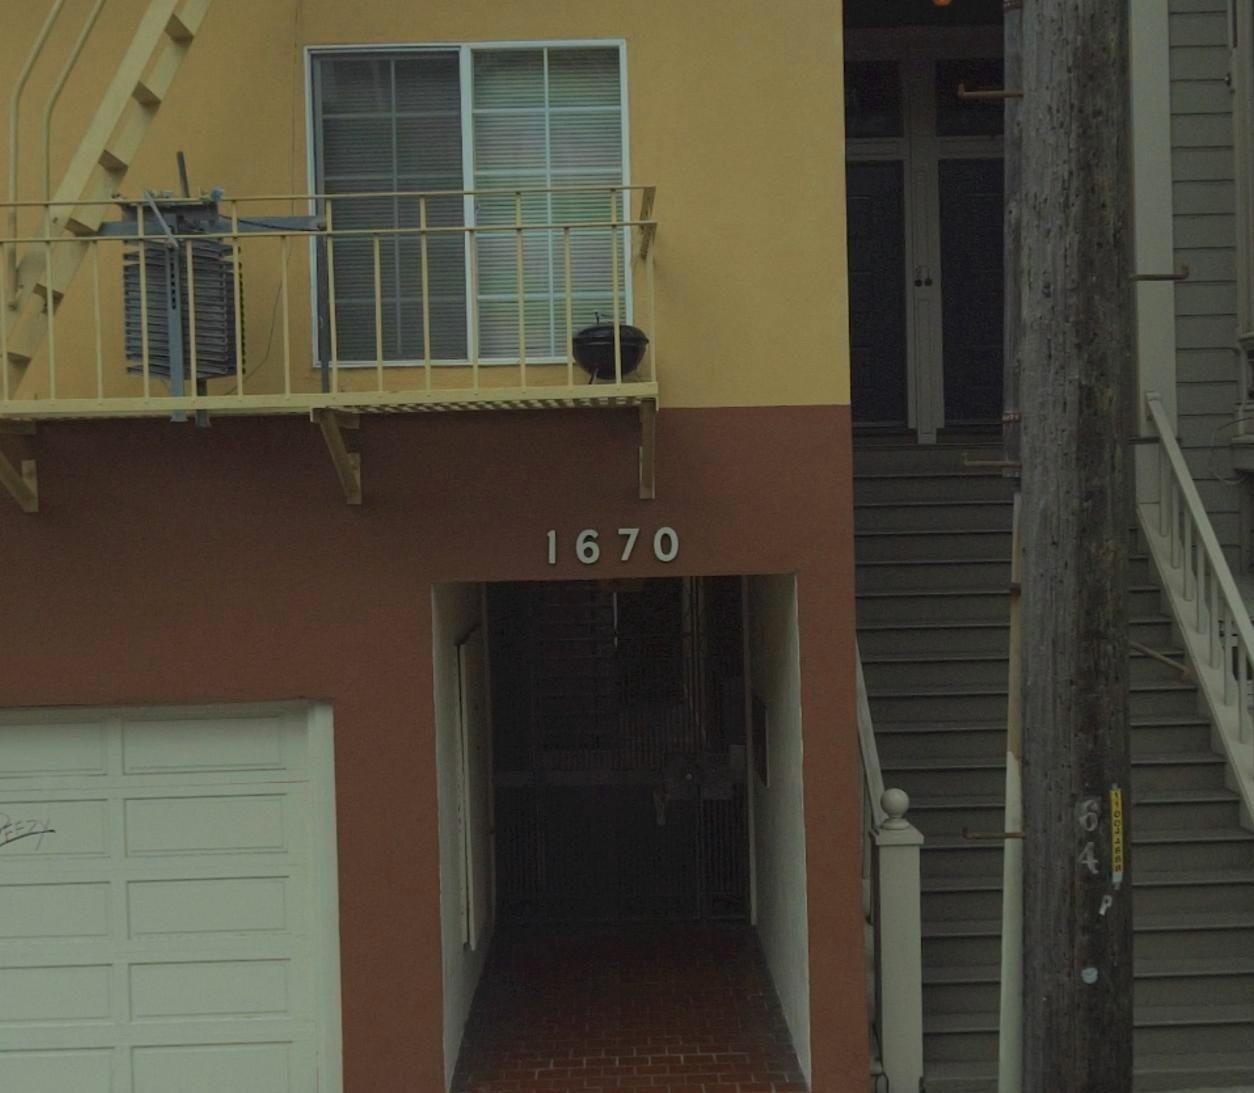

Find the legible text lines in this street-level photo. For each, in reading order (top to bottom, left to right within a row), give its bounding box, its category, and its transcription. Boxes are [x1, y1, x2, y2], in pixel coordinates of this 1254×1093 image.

[545, 522, 681, 565] StreetNumber: 1670
[2, 814, 55, 853] None: EEZY
[1072, 792, 1103, 876] None: 64
[1110, 788, 1123, 871] None: 110044***